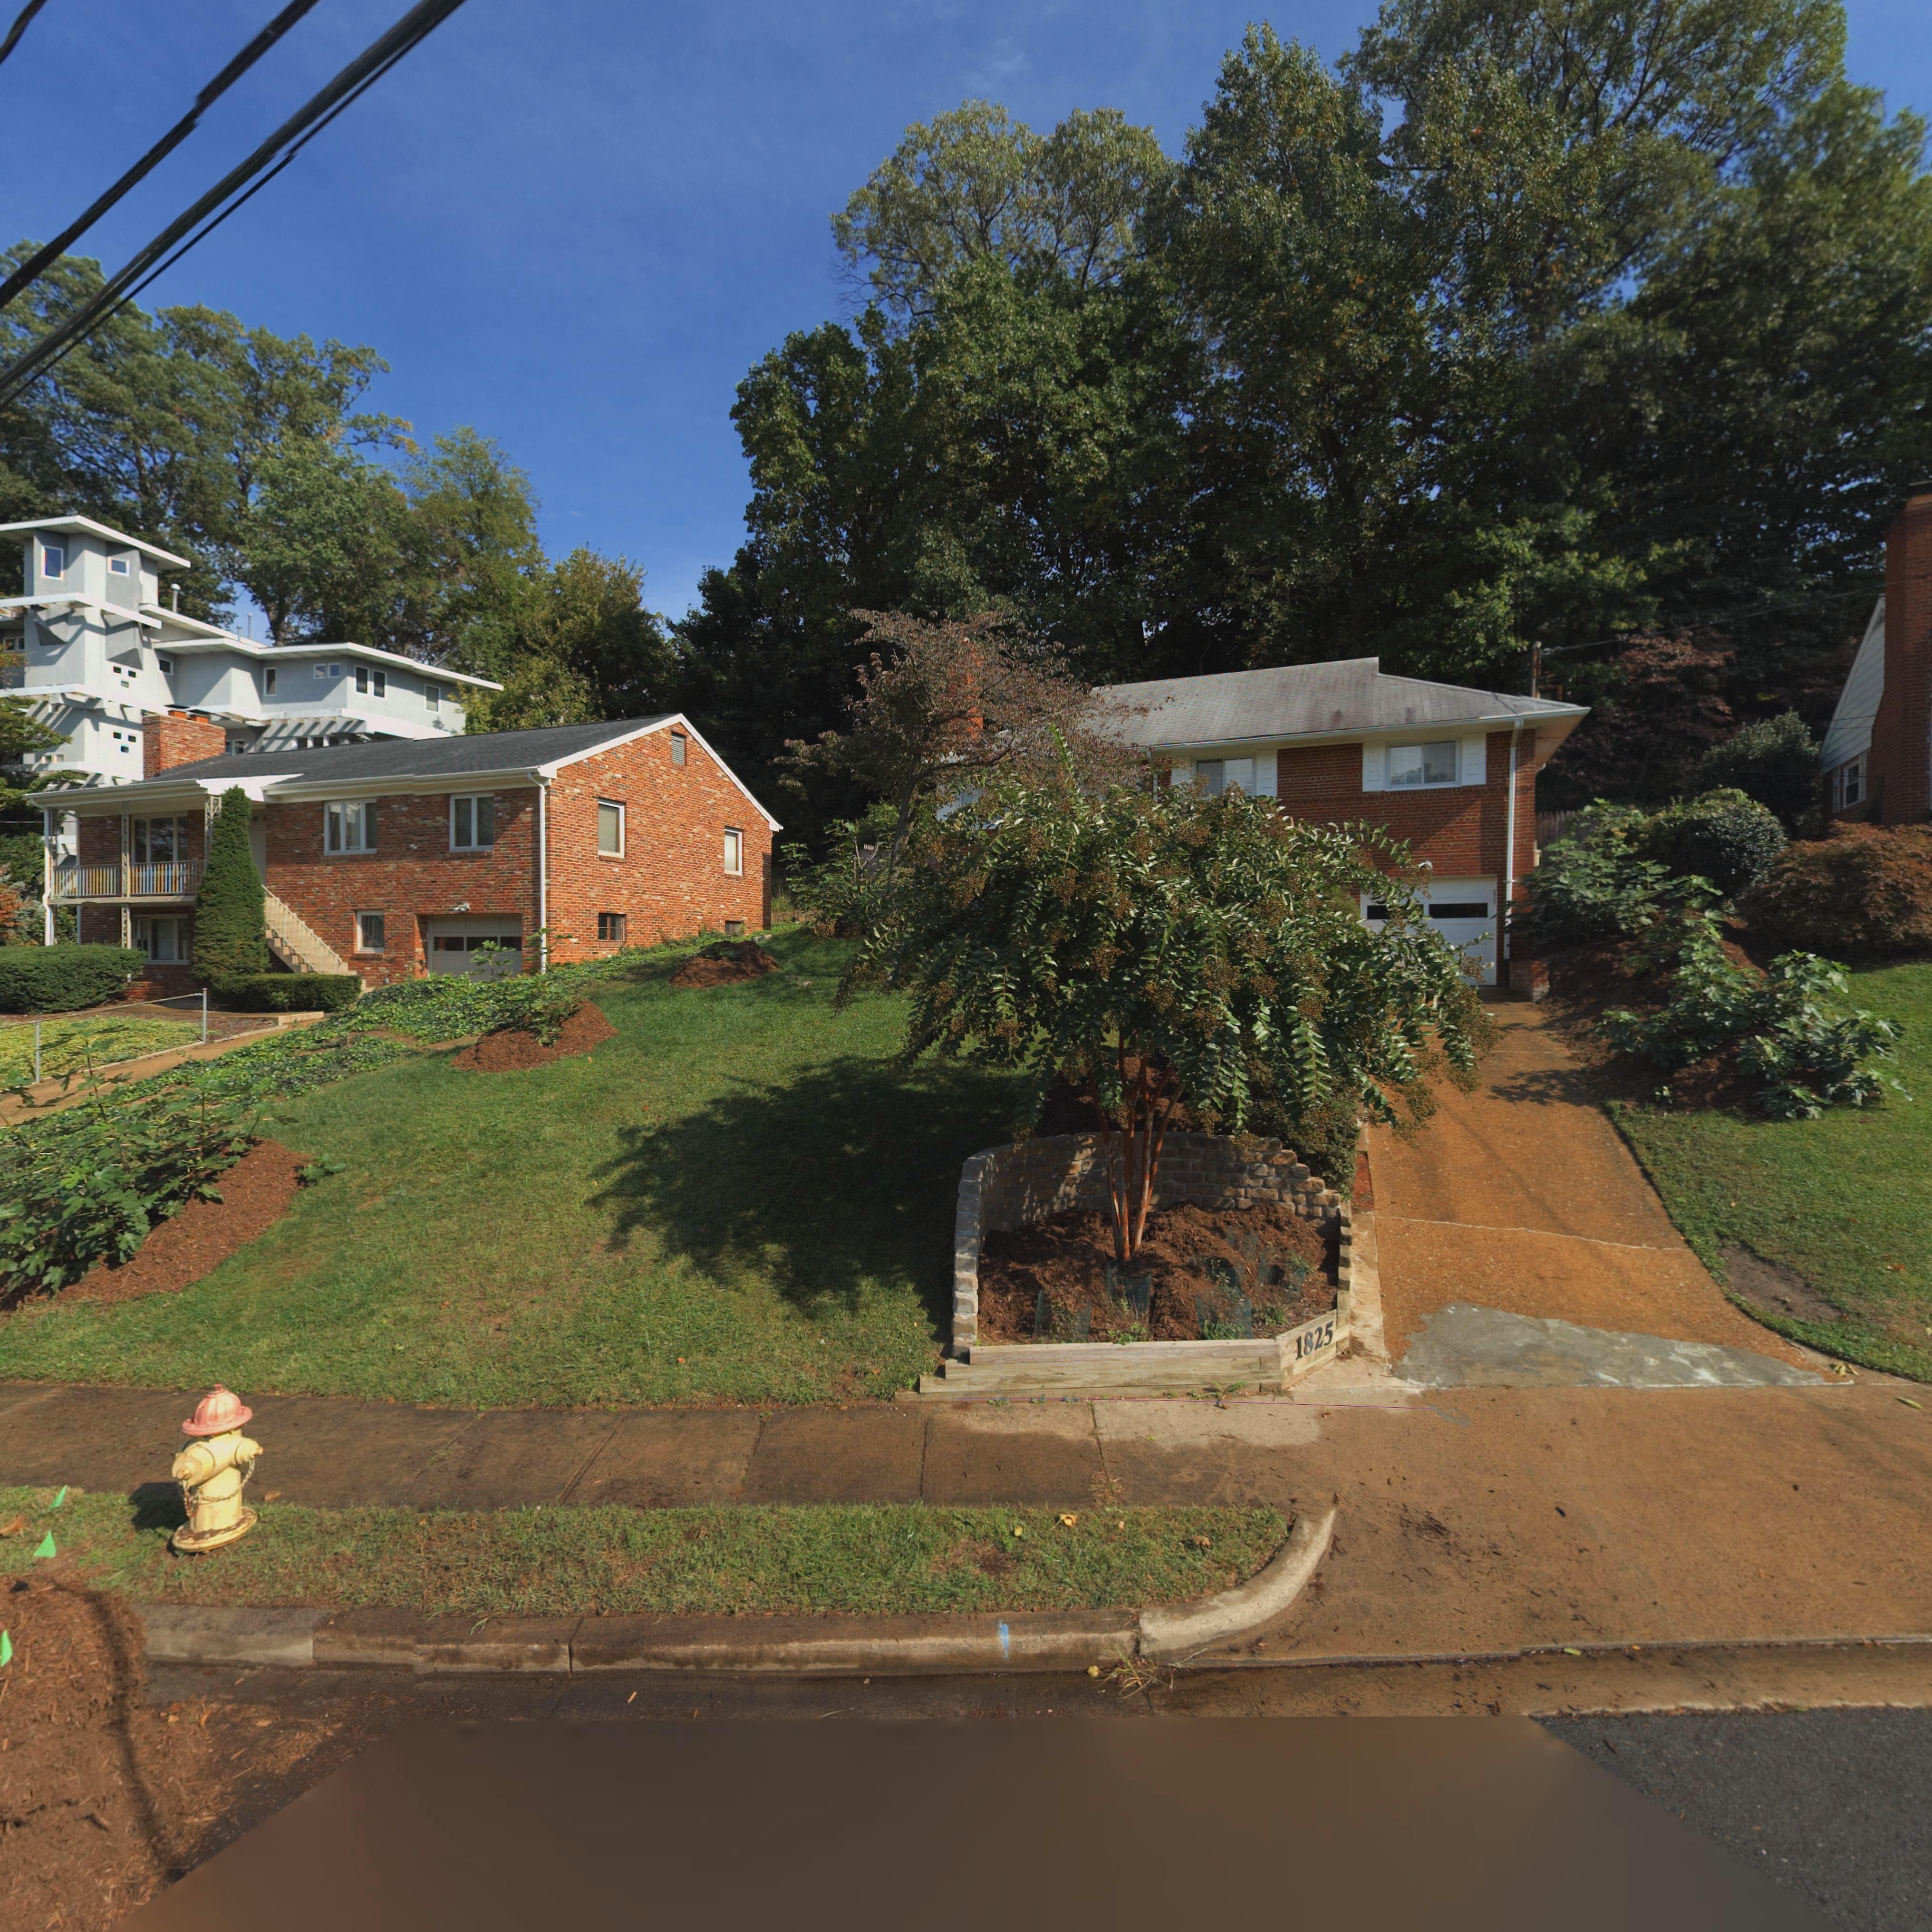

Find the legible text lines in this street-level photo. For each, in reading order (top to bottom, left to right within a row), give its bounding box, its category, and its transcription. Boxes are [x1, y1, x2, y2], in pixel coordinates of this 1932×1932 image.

[1294, 1320, 1333, 1362] StreetNumber: 1825